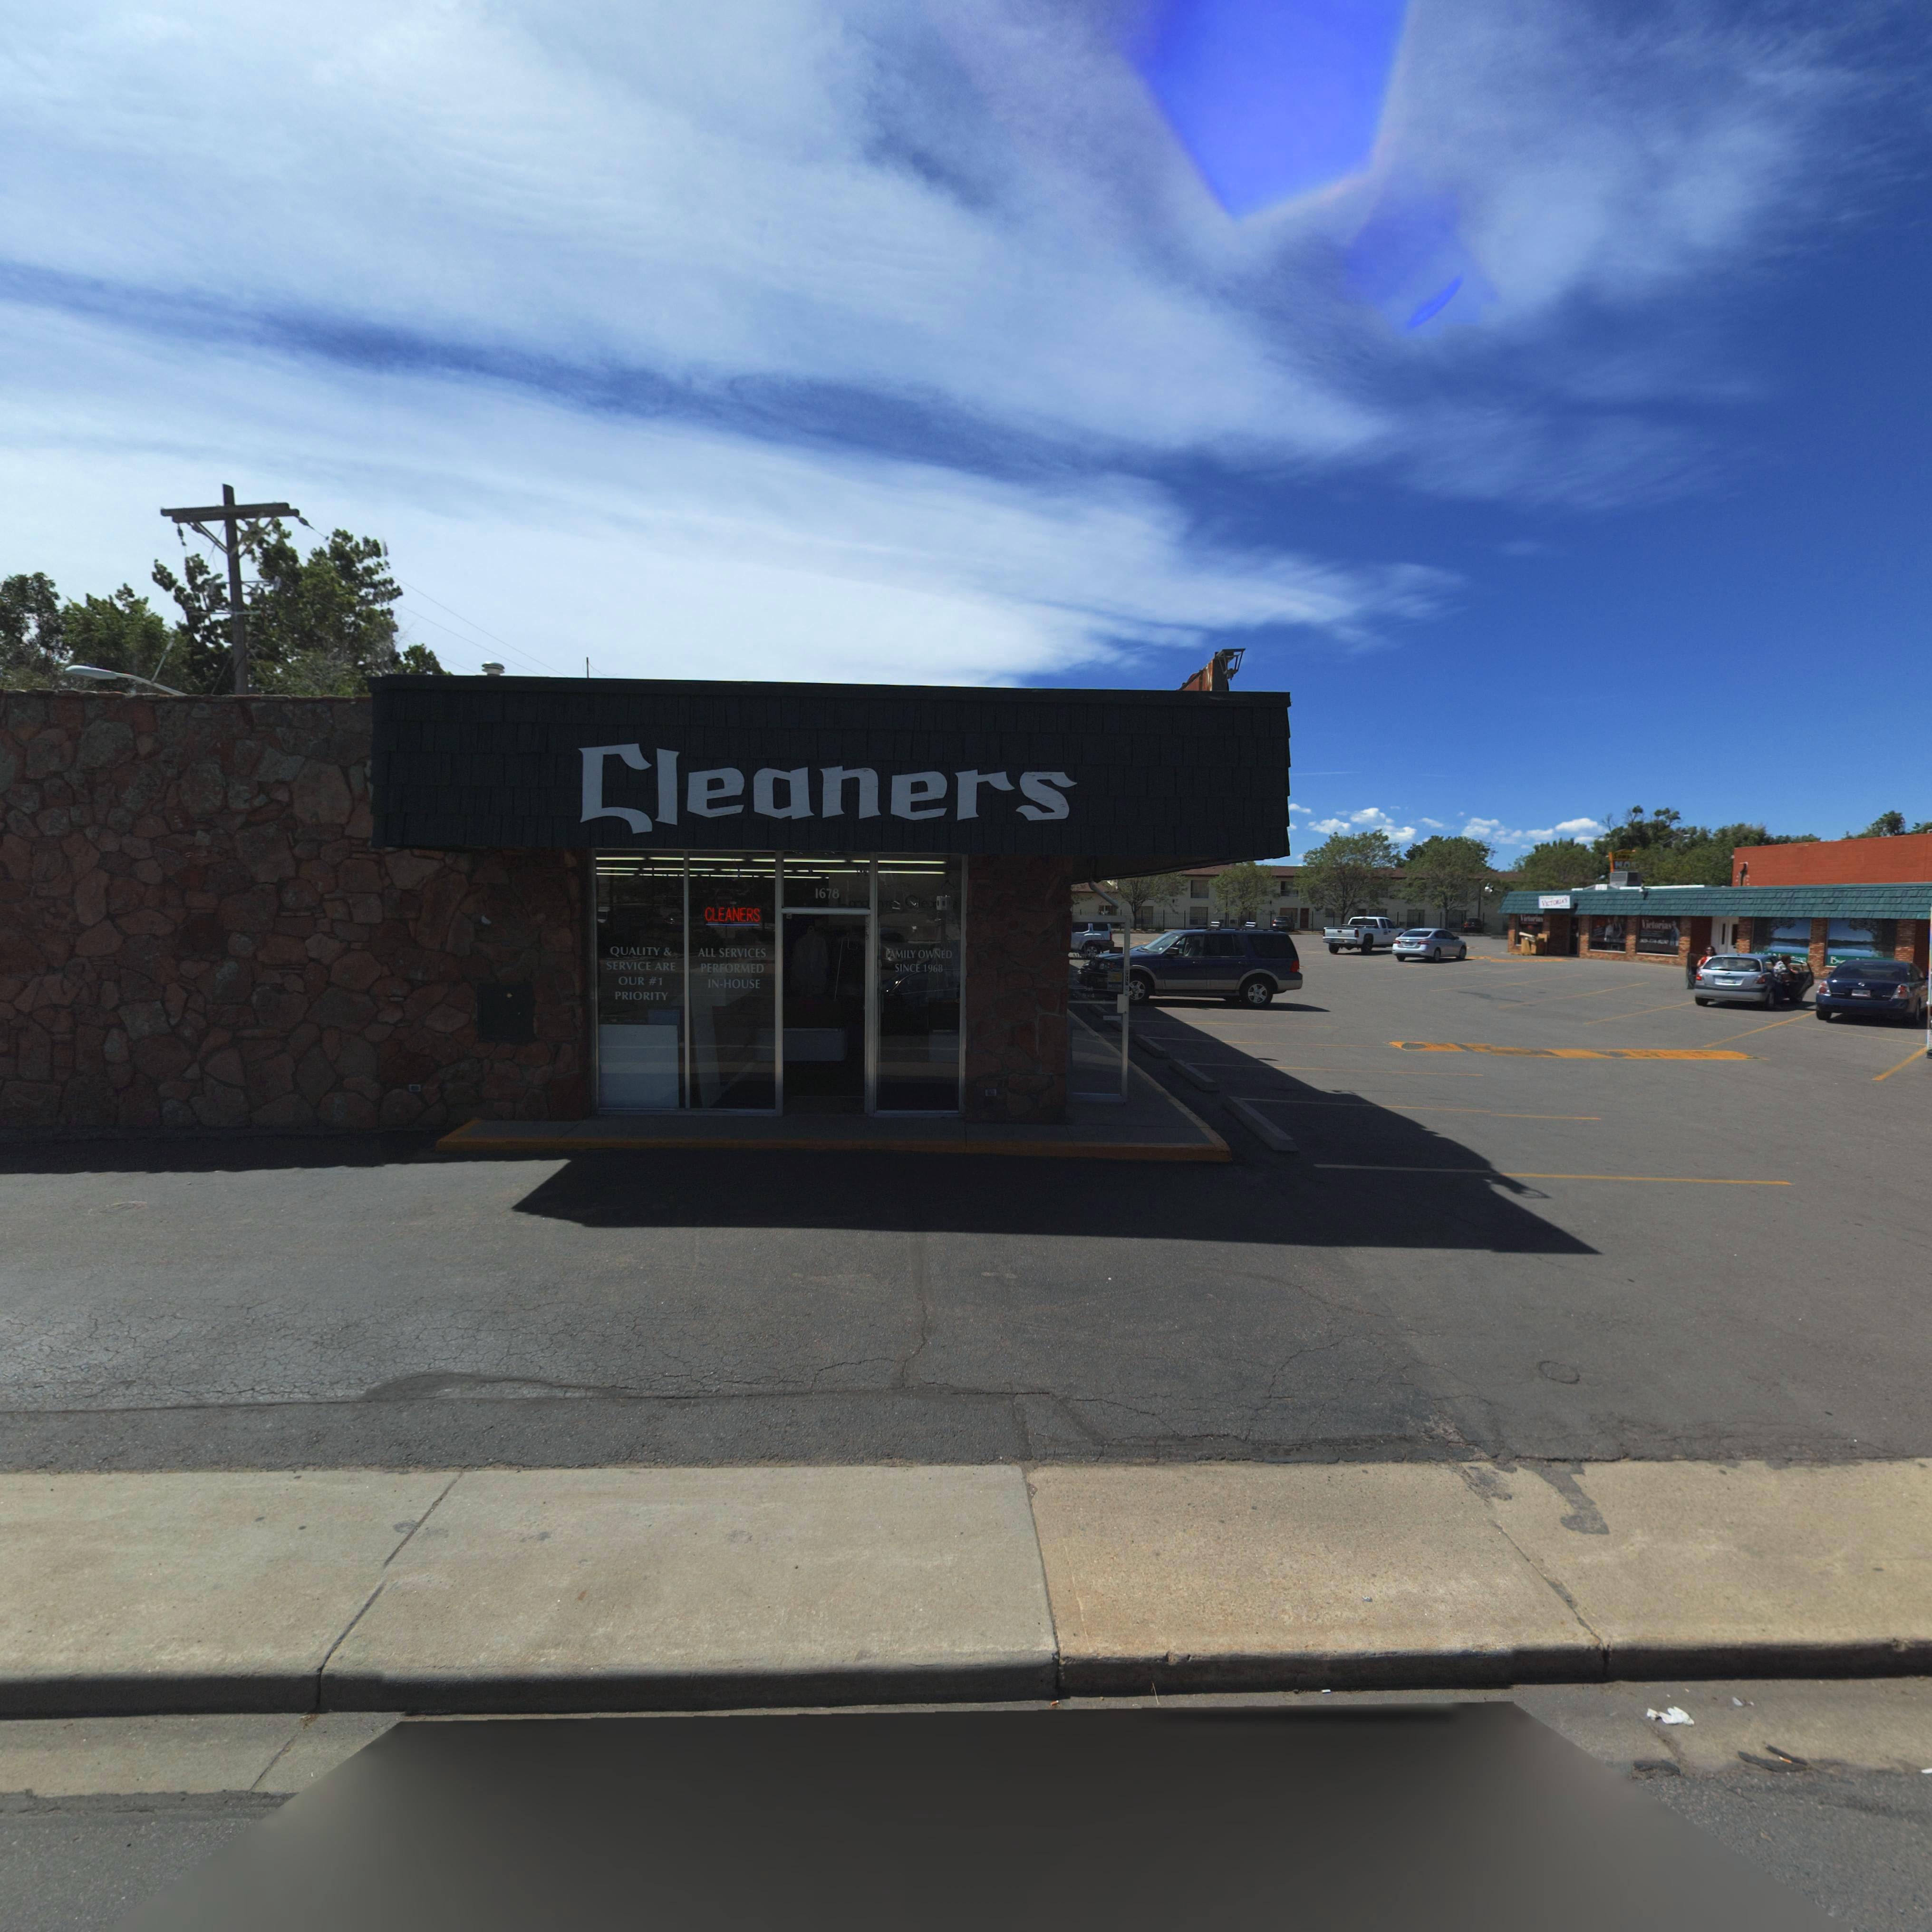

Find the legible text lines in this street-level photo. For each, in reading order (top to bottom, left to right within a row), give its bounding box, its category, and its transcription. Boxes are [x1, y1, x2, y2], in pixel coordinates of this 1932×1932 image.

[1613, 852, 1632, 860] BusinessName: Lamp
[1615, 860, 1639, 869] BusinessName: MO*
[814, 887, 840, 899] StreetNumber: 1678
[1541, 896, 1568, 907] BusinessName: VICTORIAS
[1519, 914, 1543, 922] BusinessName: Victorias
[1641, 918, 1672, 929] BusinessName: Victorias